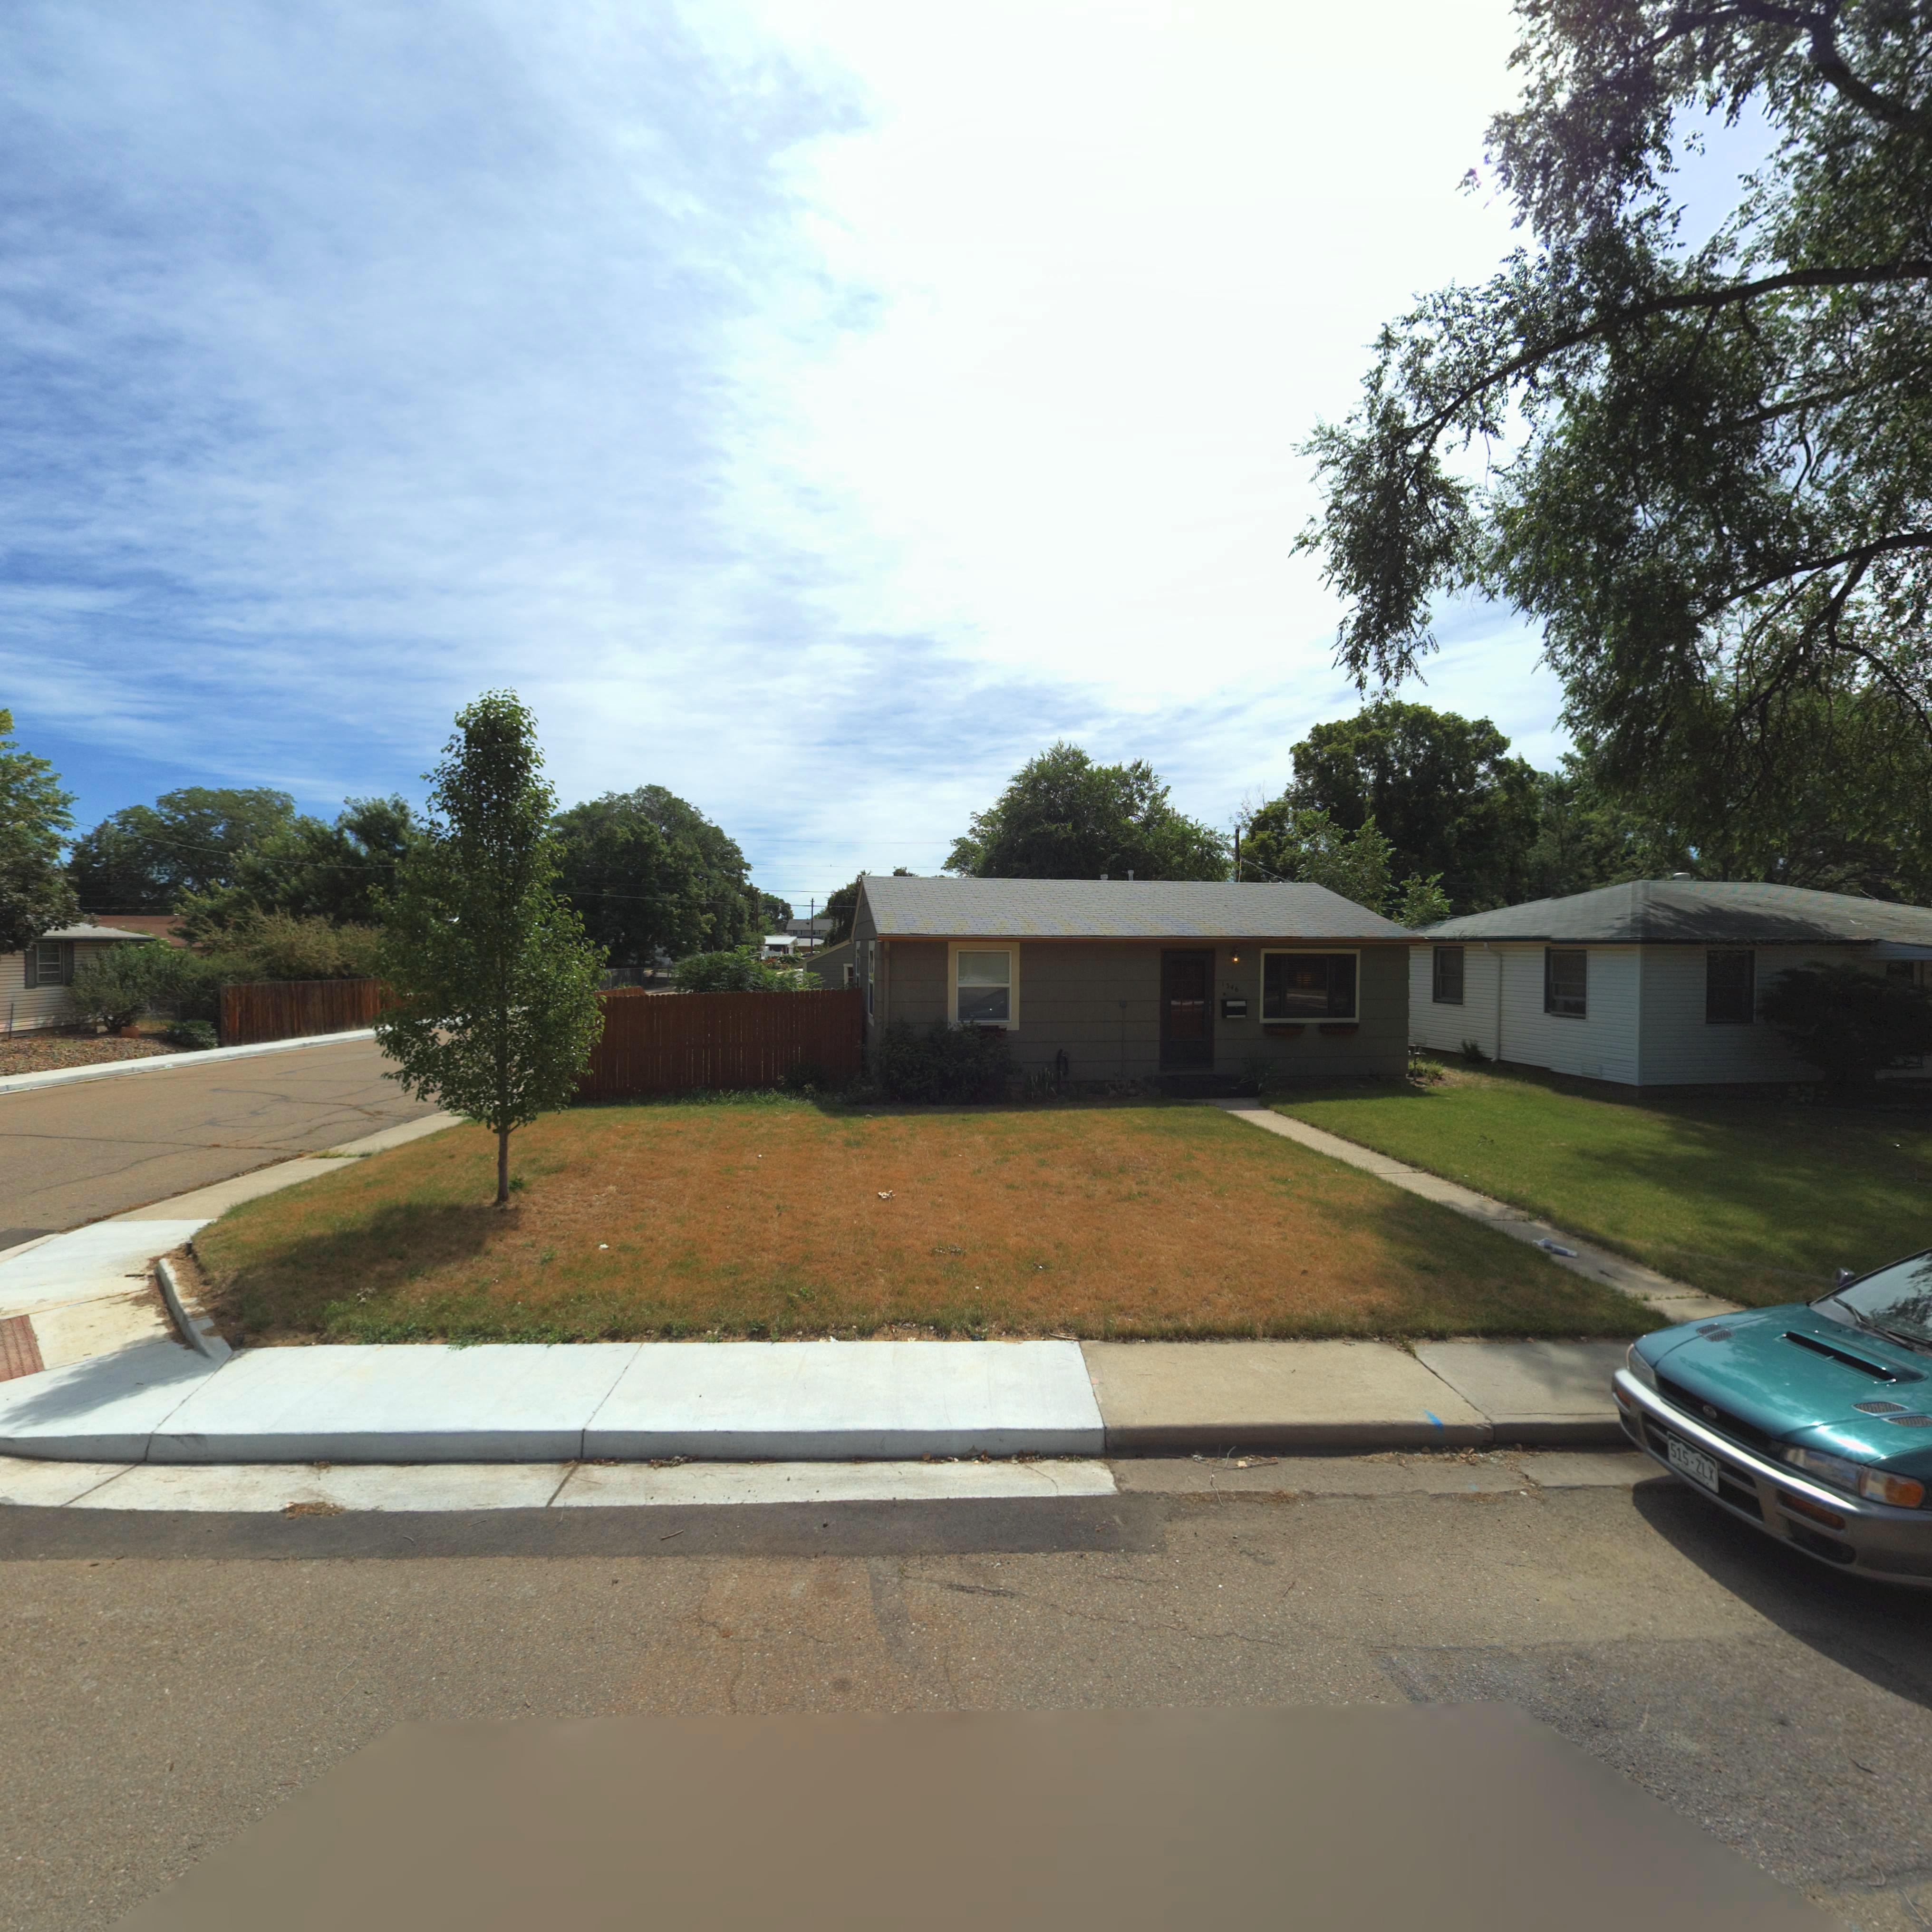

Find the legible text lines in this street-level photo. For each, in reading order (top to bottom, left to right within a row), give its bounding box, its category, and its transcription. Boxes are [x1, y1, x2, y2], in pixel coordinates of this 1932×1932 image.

[1221, 979, 1239, 993] StreetNumber: 1346